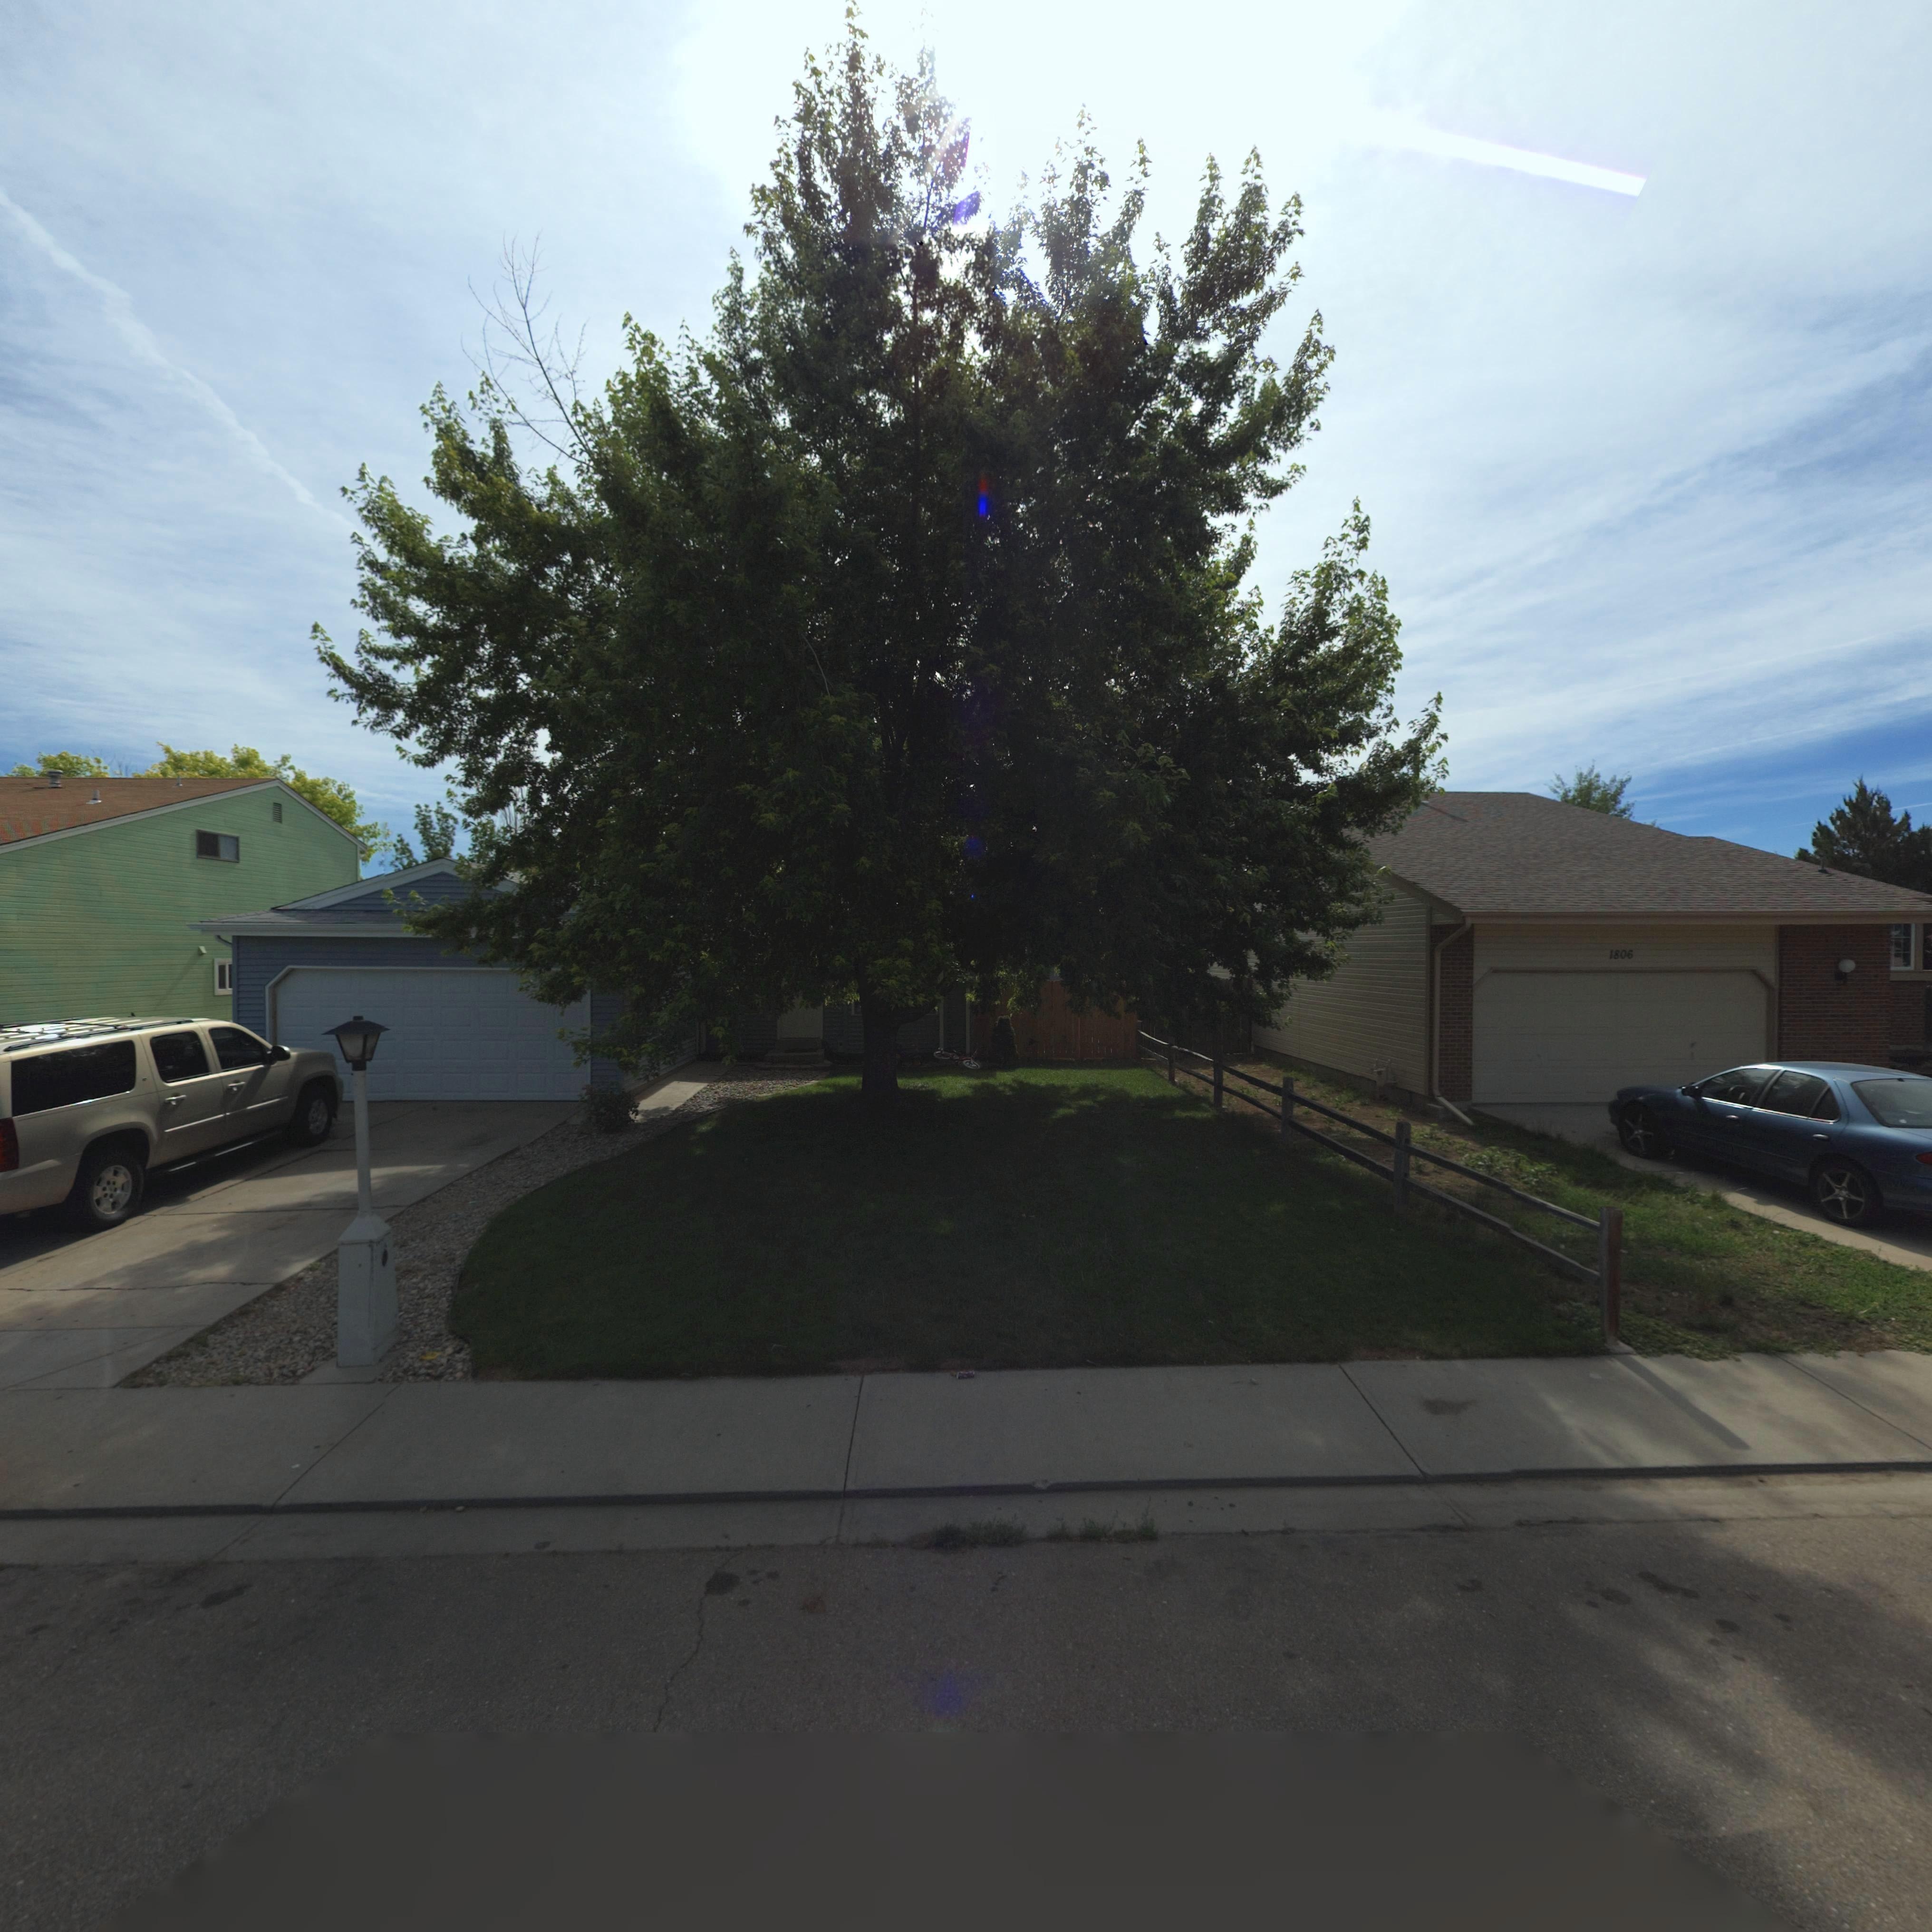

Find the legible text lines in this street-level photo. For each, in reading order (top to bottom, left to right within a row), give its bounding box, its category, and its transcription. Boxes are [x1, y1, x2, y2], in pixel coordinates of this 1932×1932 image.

[1609, 949, 1633, 959] StreetNumber: 1806